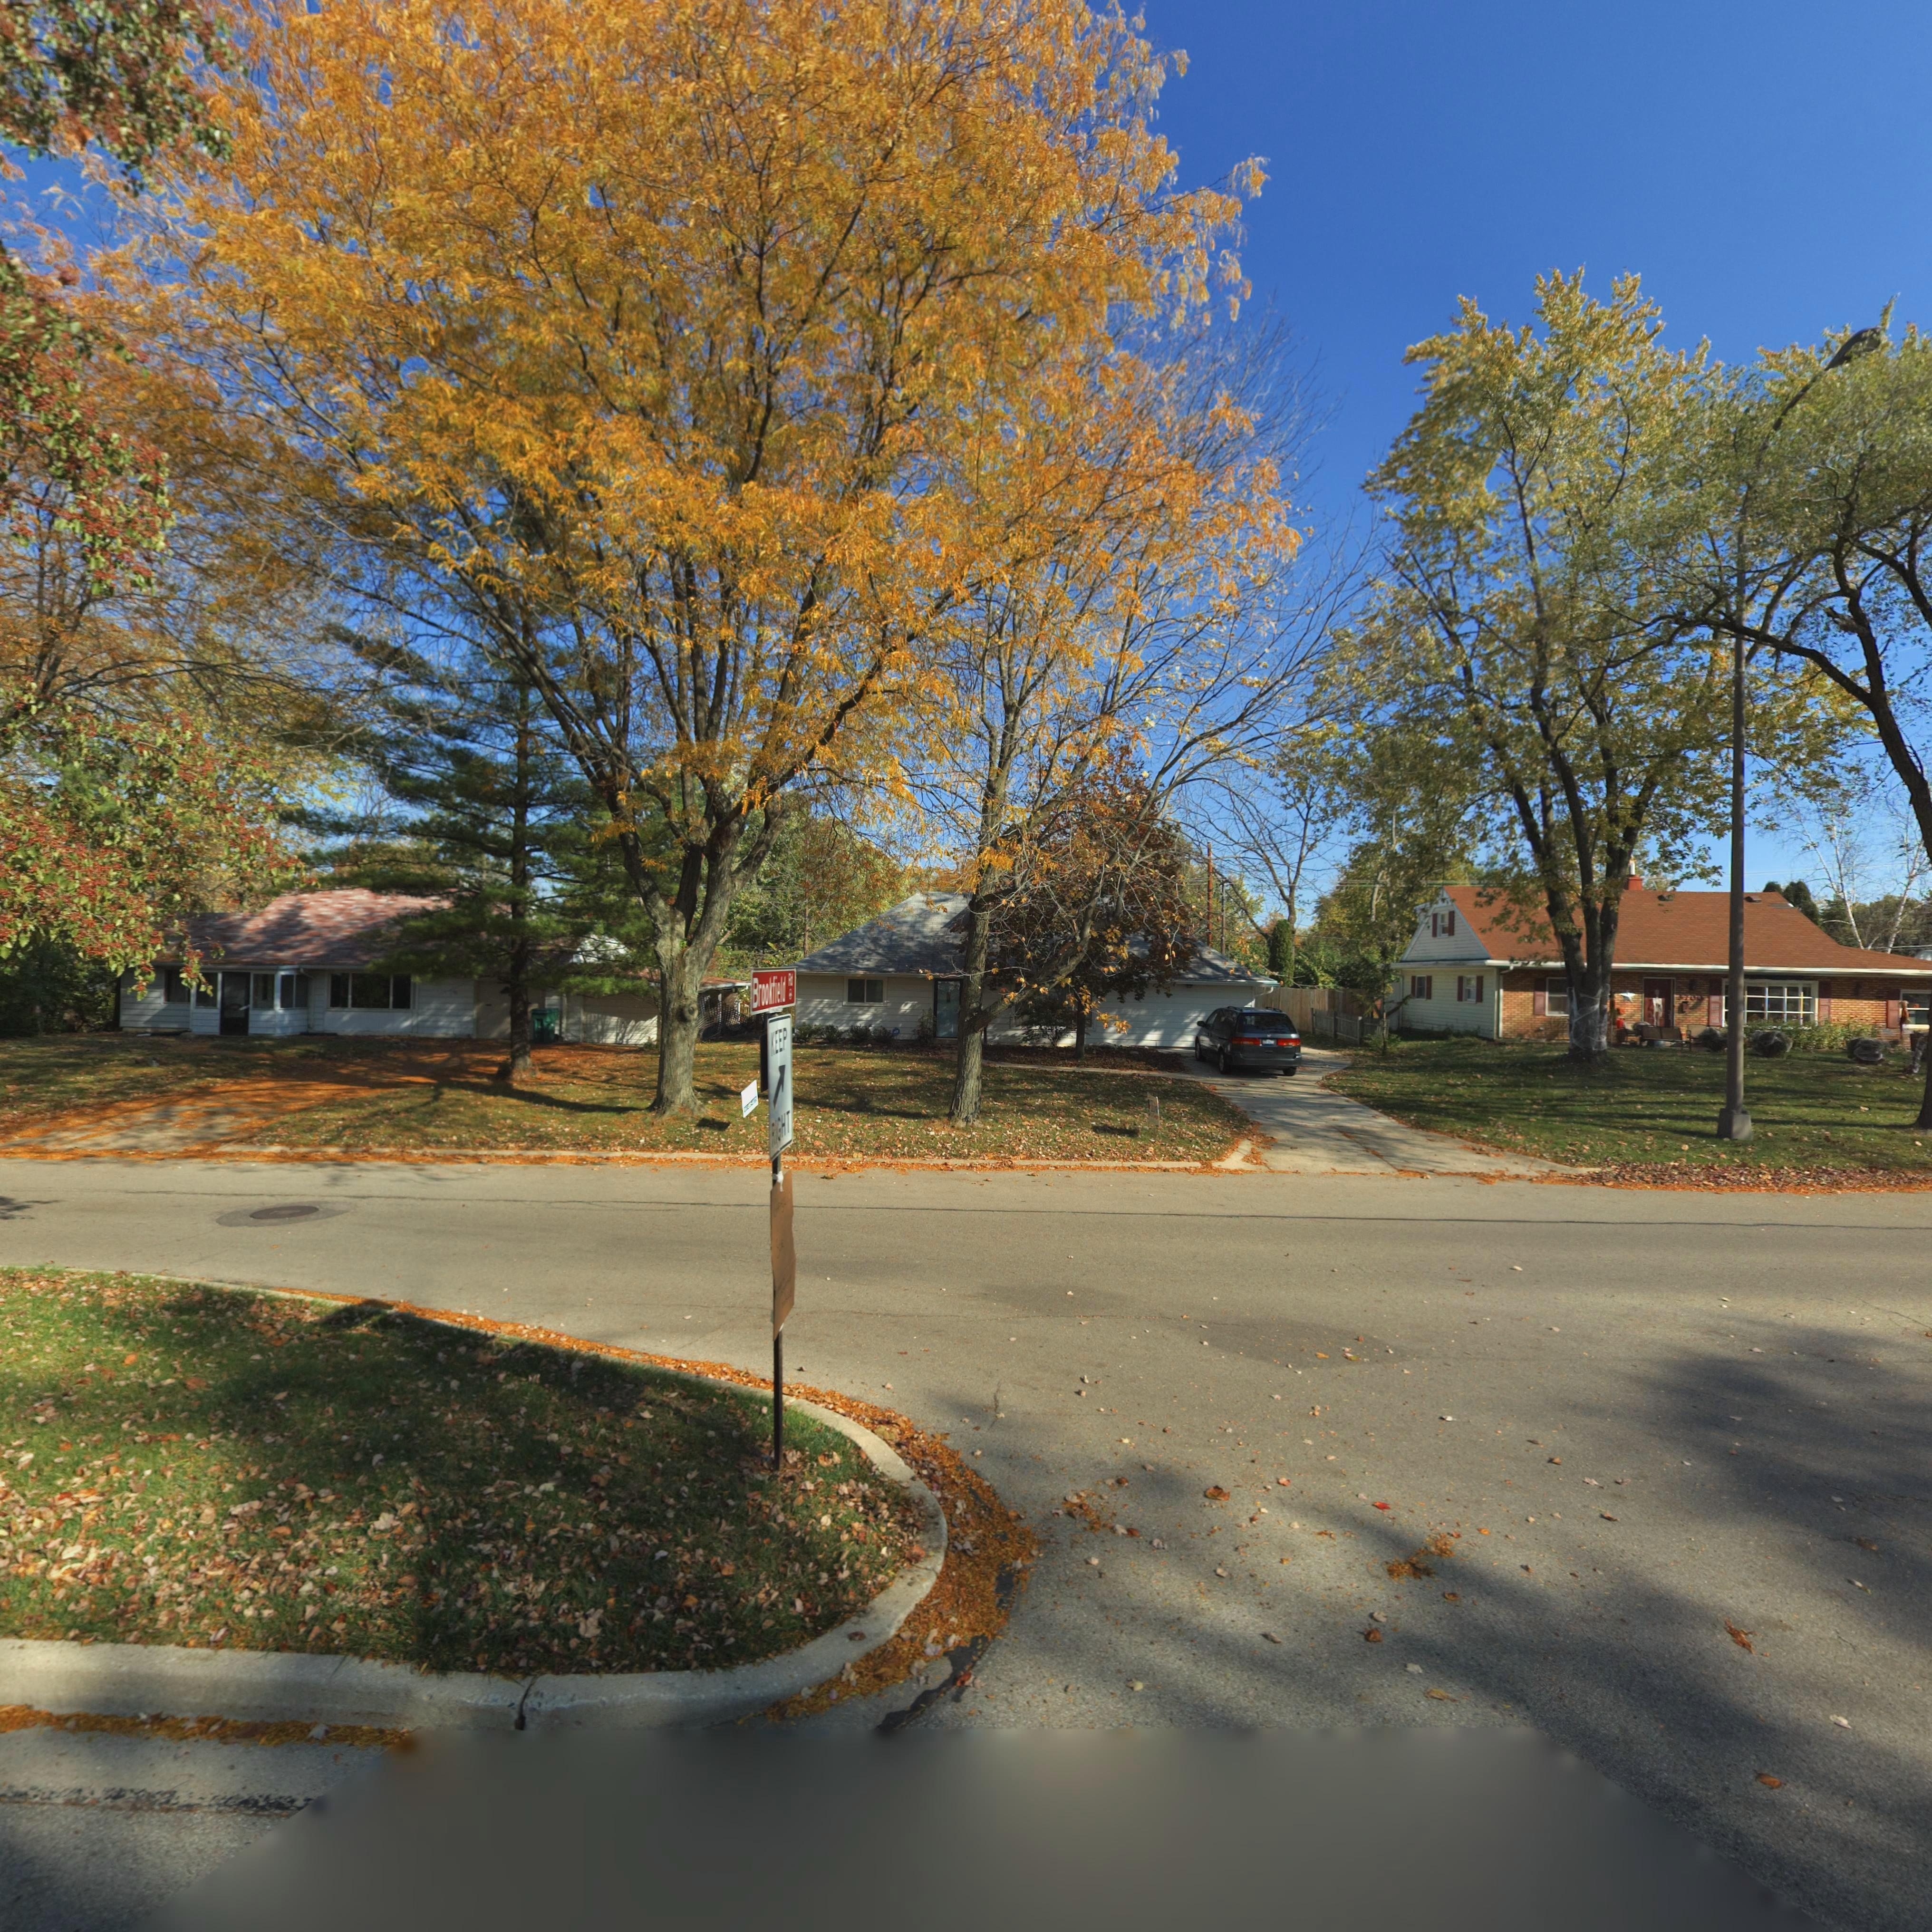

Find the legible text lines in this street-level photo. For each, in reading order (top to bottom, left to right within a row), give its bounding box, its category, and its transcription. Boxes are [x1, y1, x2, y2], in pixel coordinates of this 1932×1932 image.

[752, 973, 793, 1009] StreetName: Brookfield Rd
[1676, 994, 1703, 1001] StreetNumber: 3700
[770, 1027, 788, 1057] None: KEEP
[771, 1110, 791, 1149] None: RIGHT